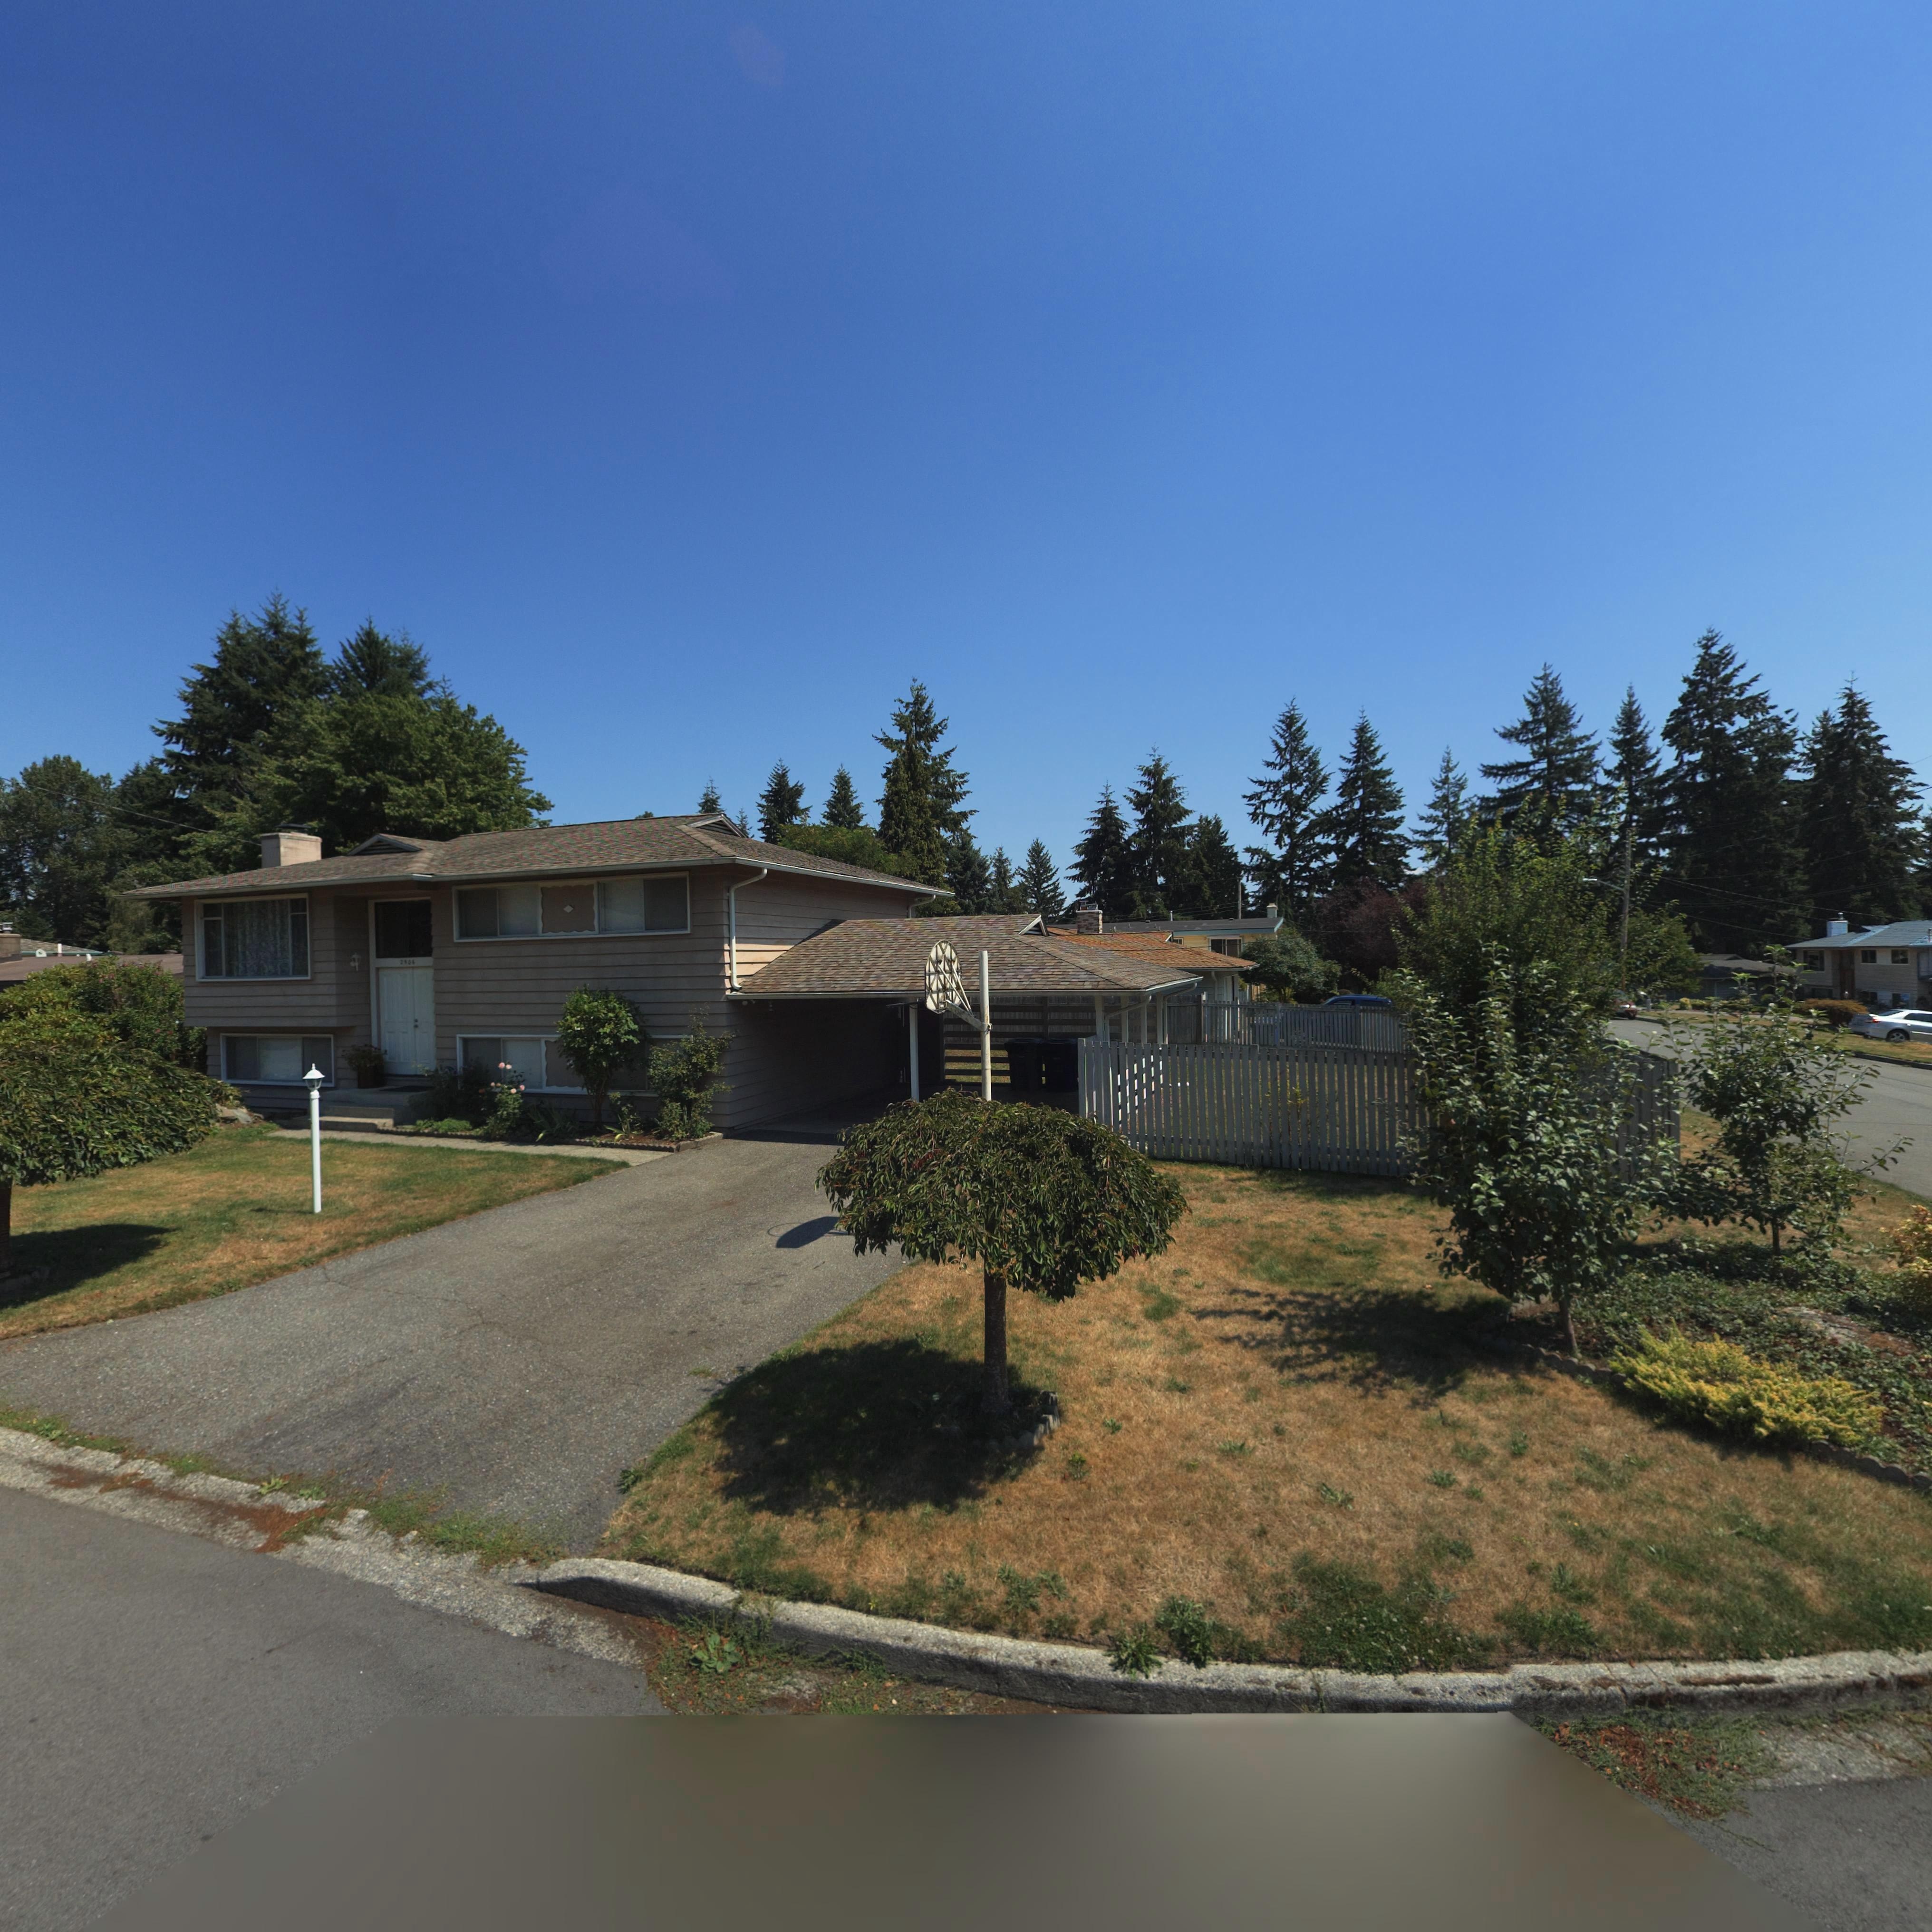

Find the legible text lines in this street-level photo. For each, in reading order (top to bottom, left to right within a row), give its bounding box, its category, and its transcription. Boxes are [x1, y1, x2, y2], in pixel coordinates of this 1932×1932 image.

[399, 958, 415, 966] StreetNumber: 2506